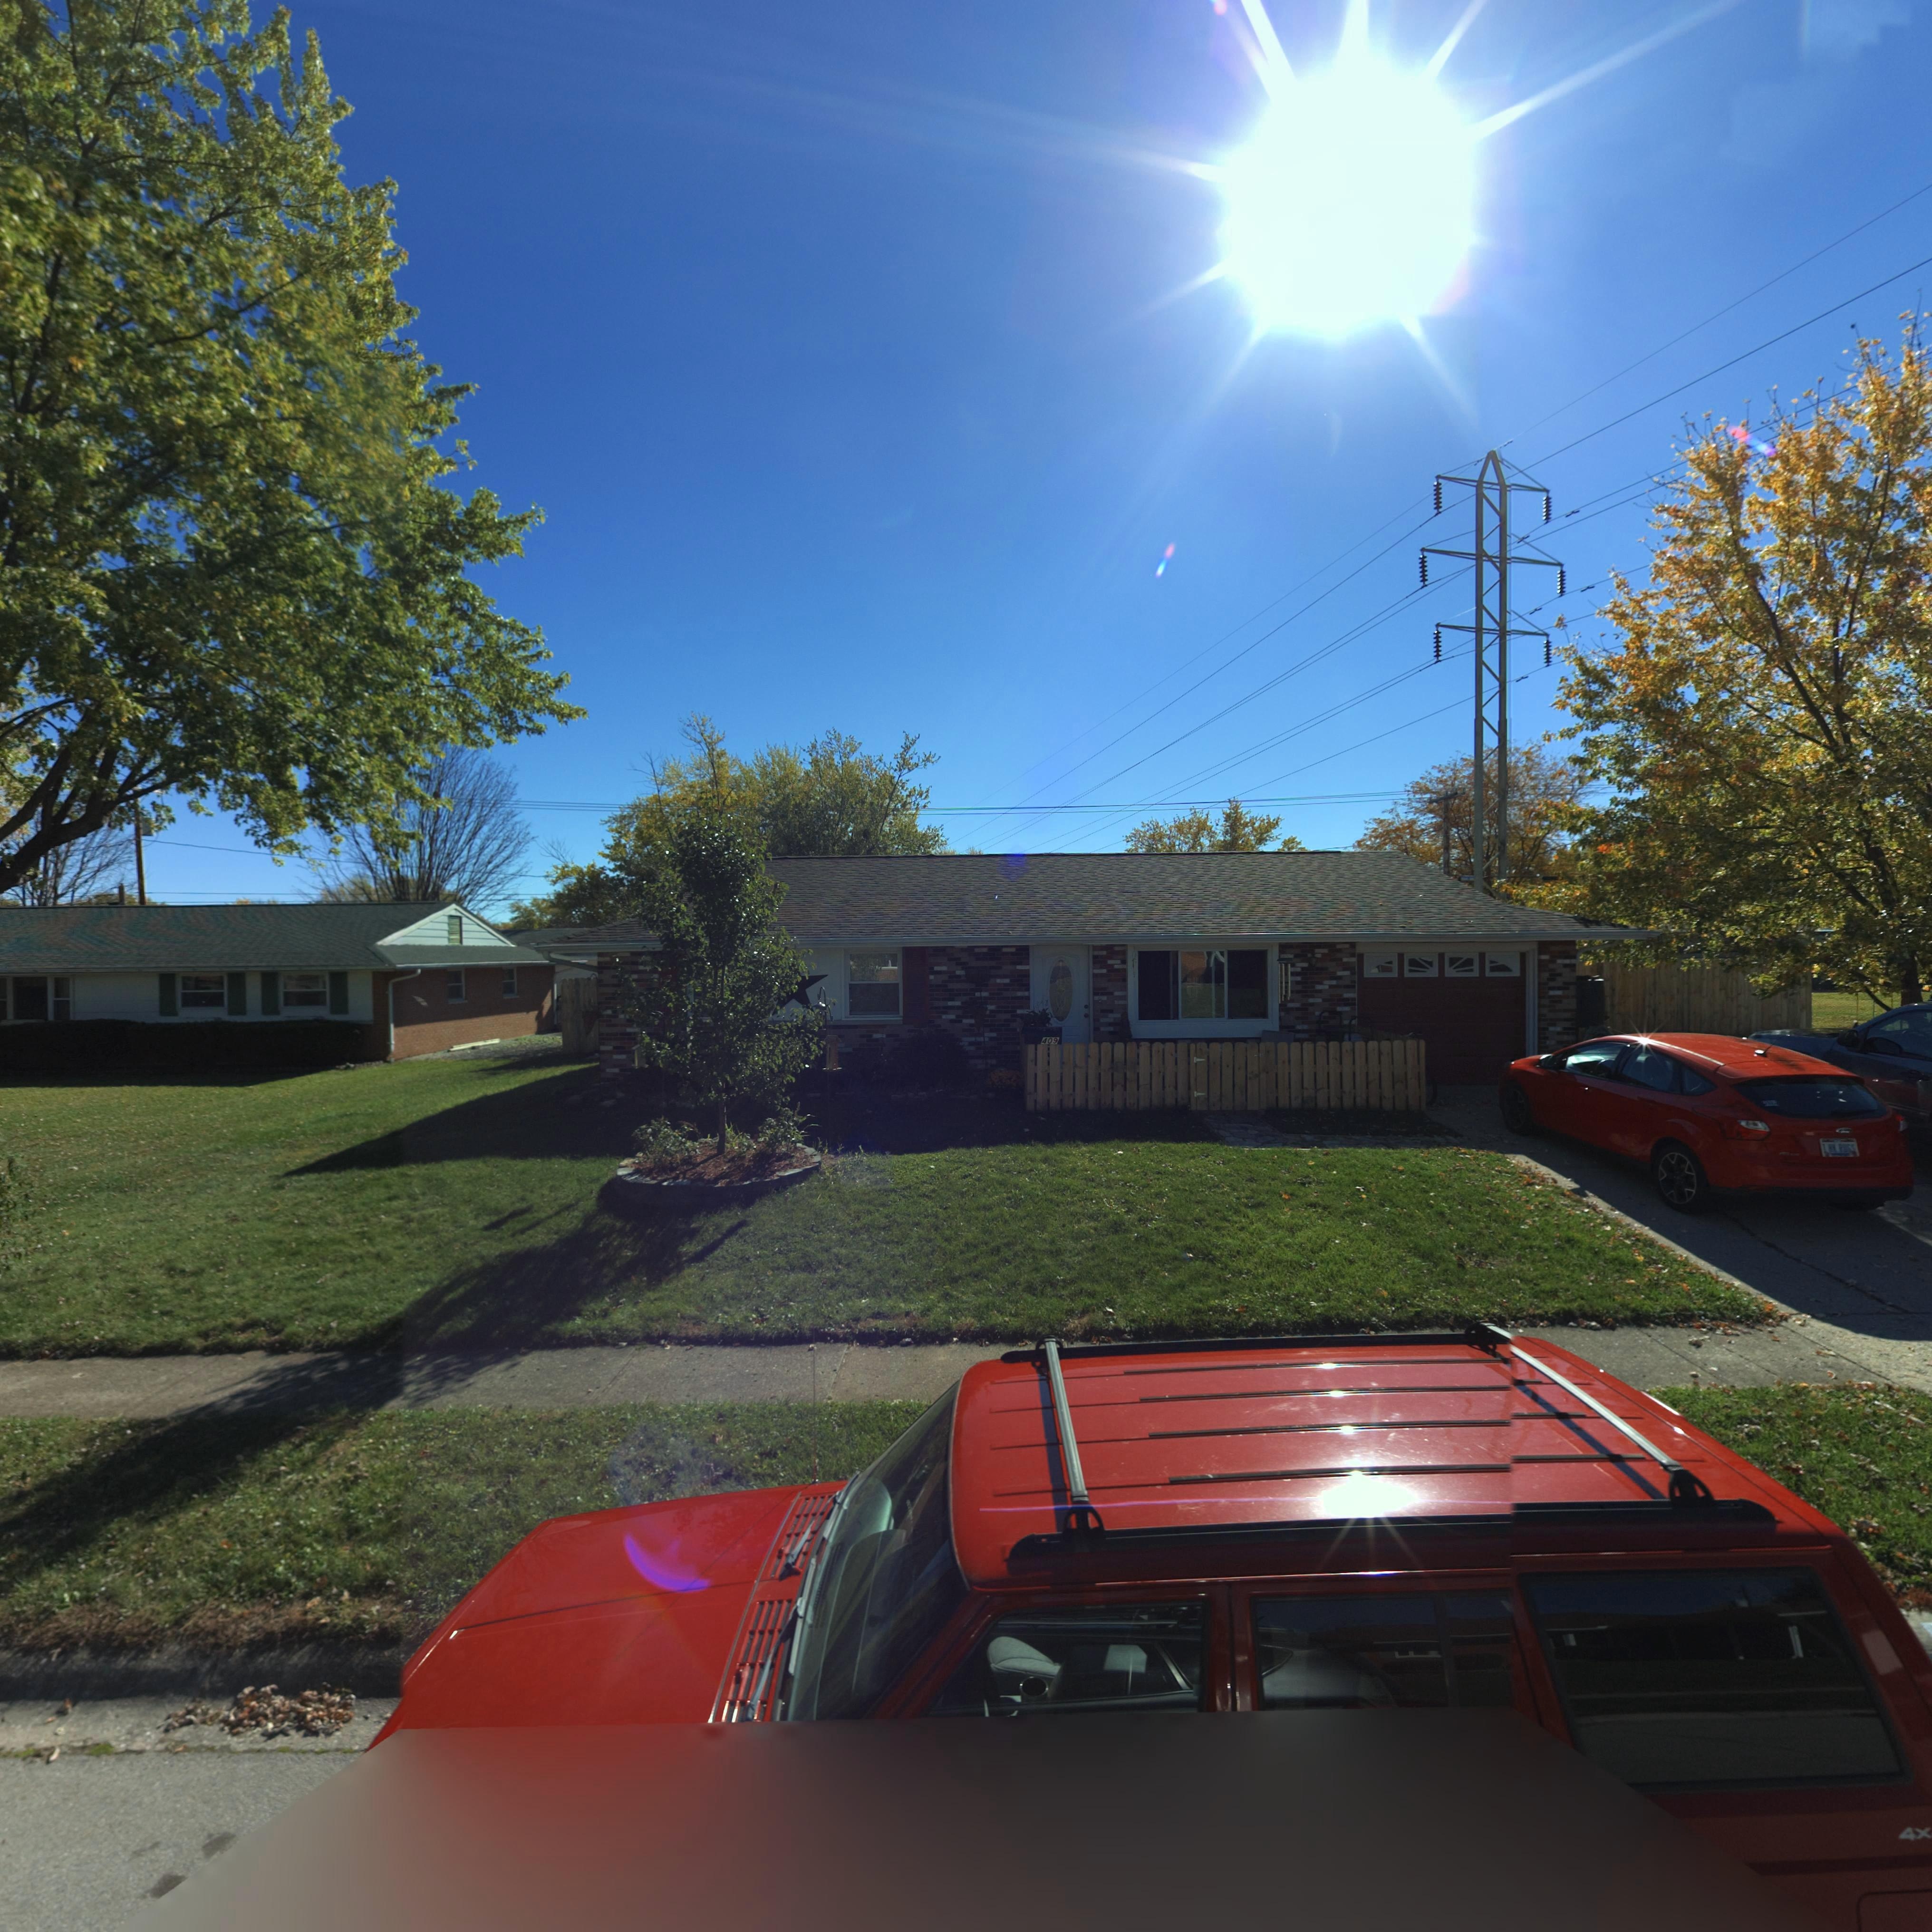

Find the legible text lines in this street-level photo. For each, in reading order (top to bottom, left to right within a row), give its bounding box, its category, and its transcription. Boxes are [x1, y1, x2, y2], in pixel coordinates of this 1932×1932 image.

[1041, 1037, 1059, 1044] StreetNumber: 409